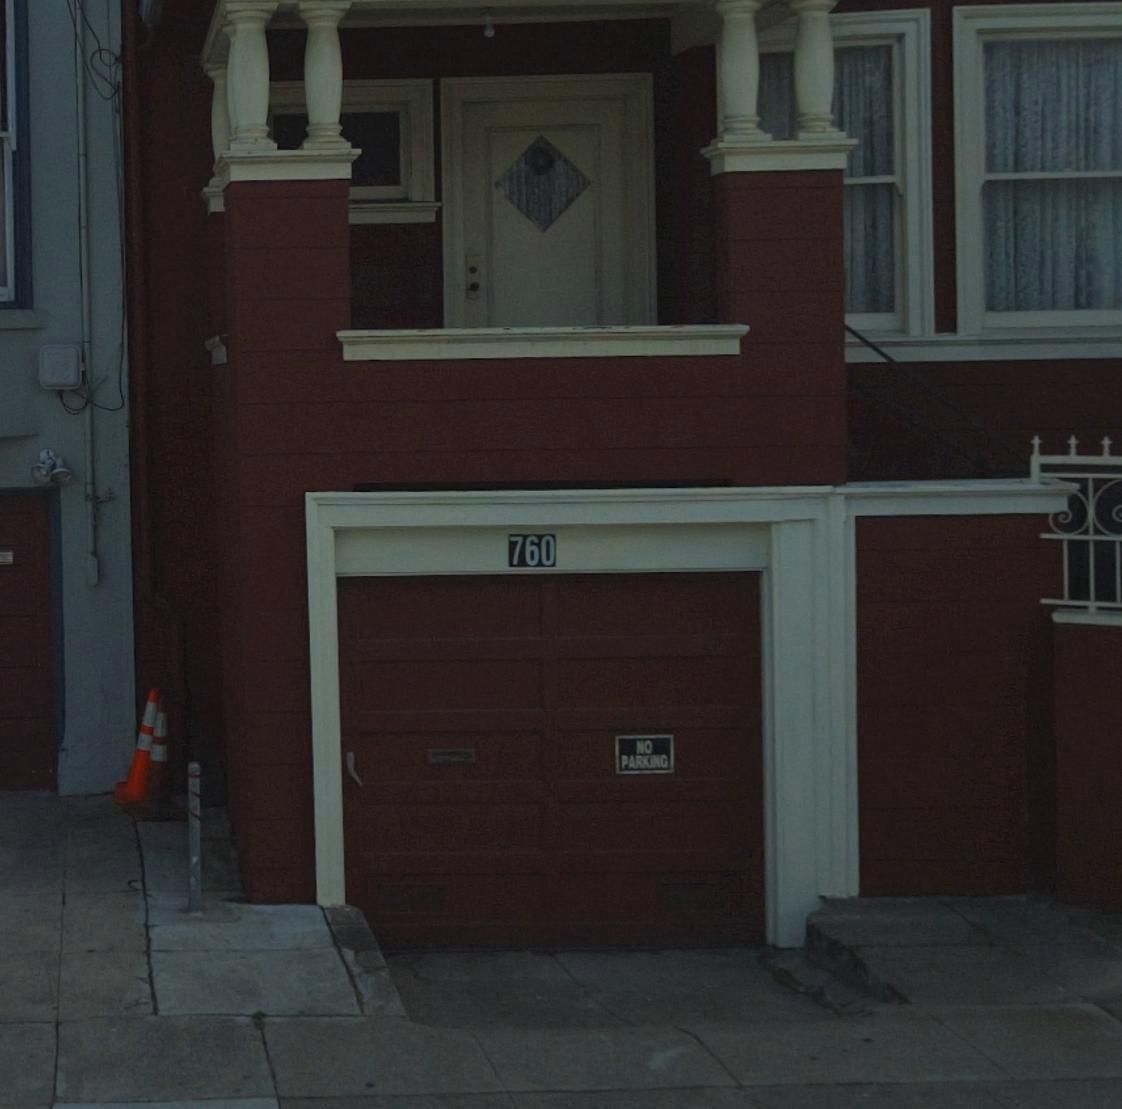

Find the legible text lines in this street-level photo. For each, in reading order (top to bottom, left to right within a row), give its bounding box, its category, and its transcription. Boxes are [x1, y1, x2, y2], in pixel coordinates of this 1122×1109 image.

[508, 534, 557, 568] StreetNumber: 760
[634, 738, 655, 756] None: NO
[619, 753, 670, 771] None: PARKING